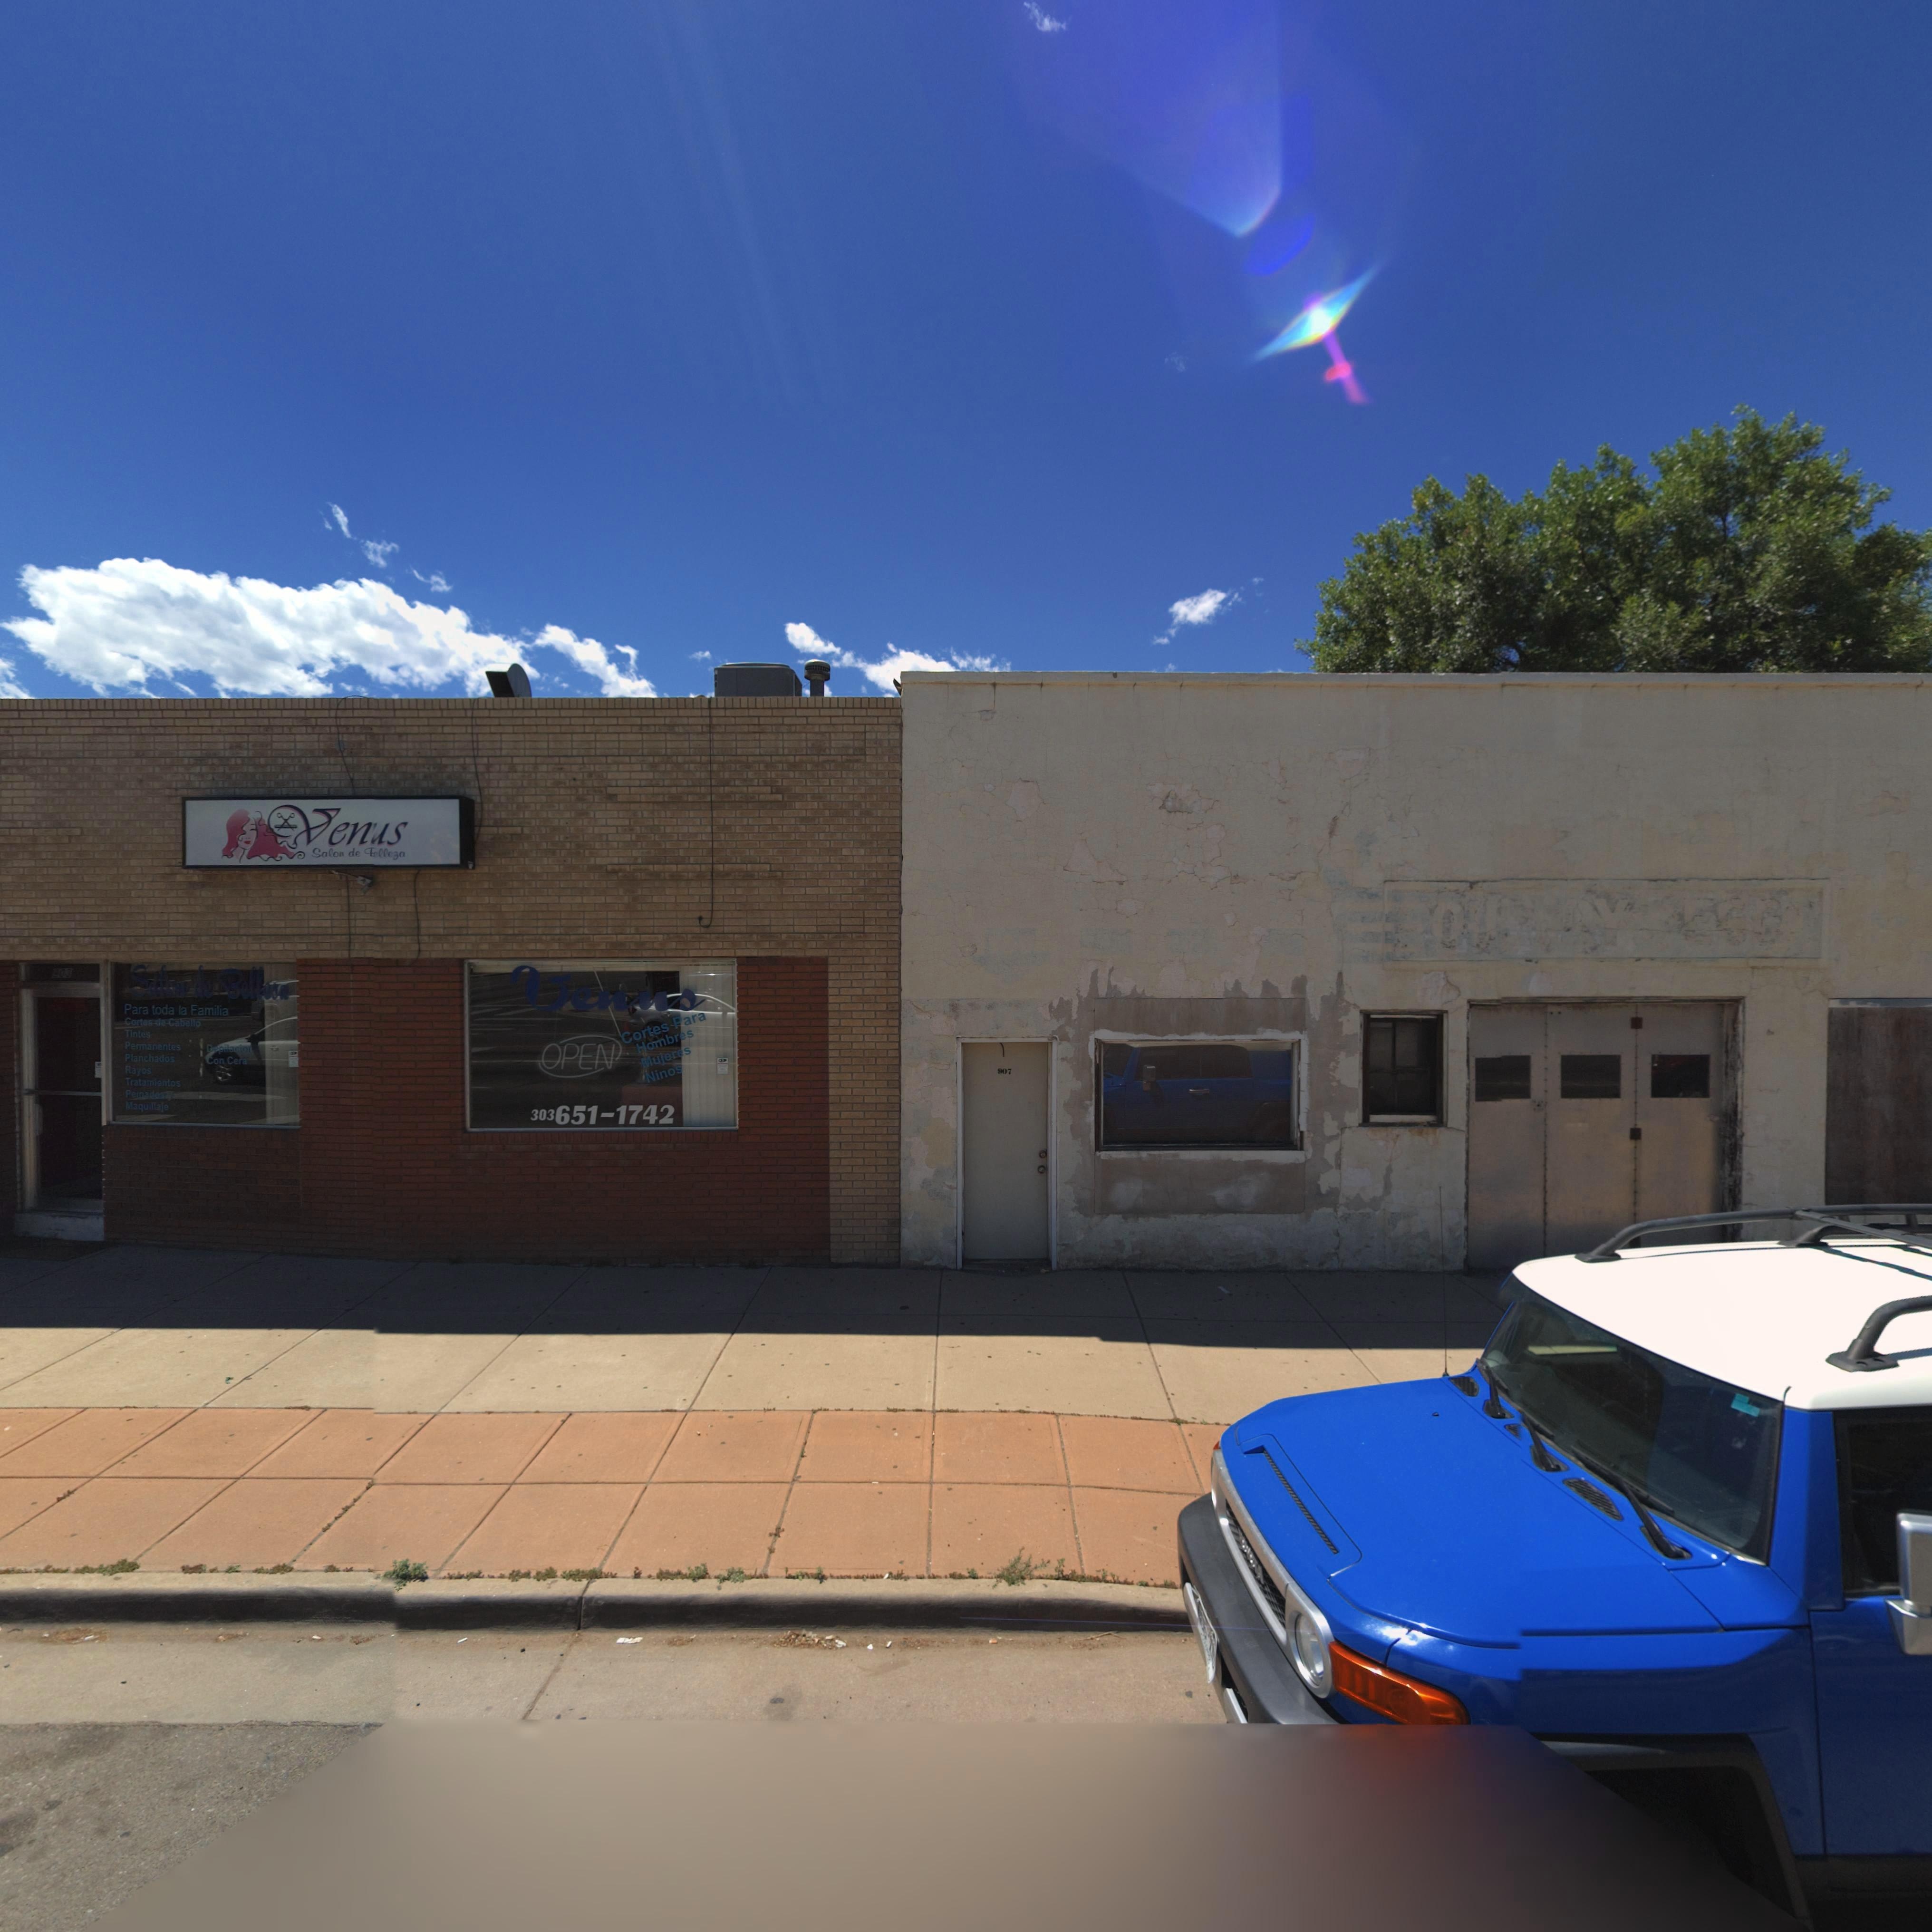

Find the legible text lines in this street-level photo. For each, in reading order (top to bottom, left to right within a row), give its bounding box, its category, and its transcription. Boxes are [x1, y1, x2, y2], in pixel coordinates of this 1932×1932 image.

[282, 803, 409, 847] BusinessName: *enus
[311, 846, 406, 861] BusinessName: Salon de *e**e*a
[50, 968, 71, 978] StreetNumber: 903
[128, 962, 290, 1000] BusinessName: Sal*n *e Bell**a
[509, 962, 698, 1014] BusinessName: *enn*
[997, 1068, 1012, 1075] StreetNumber: 907